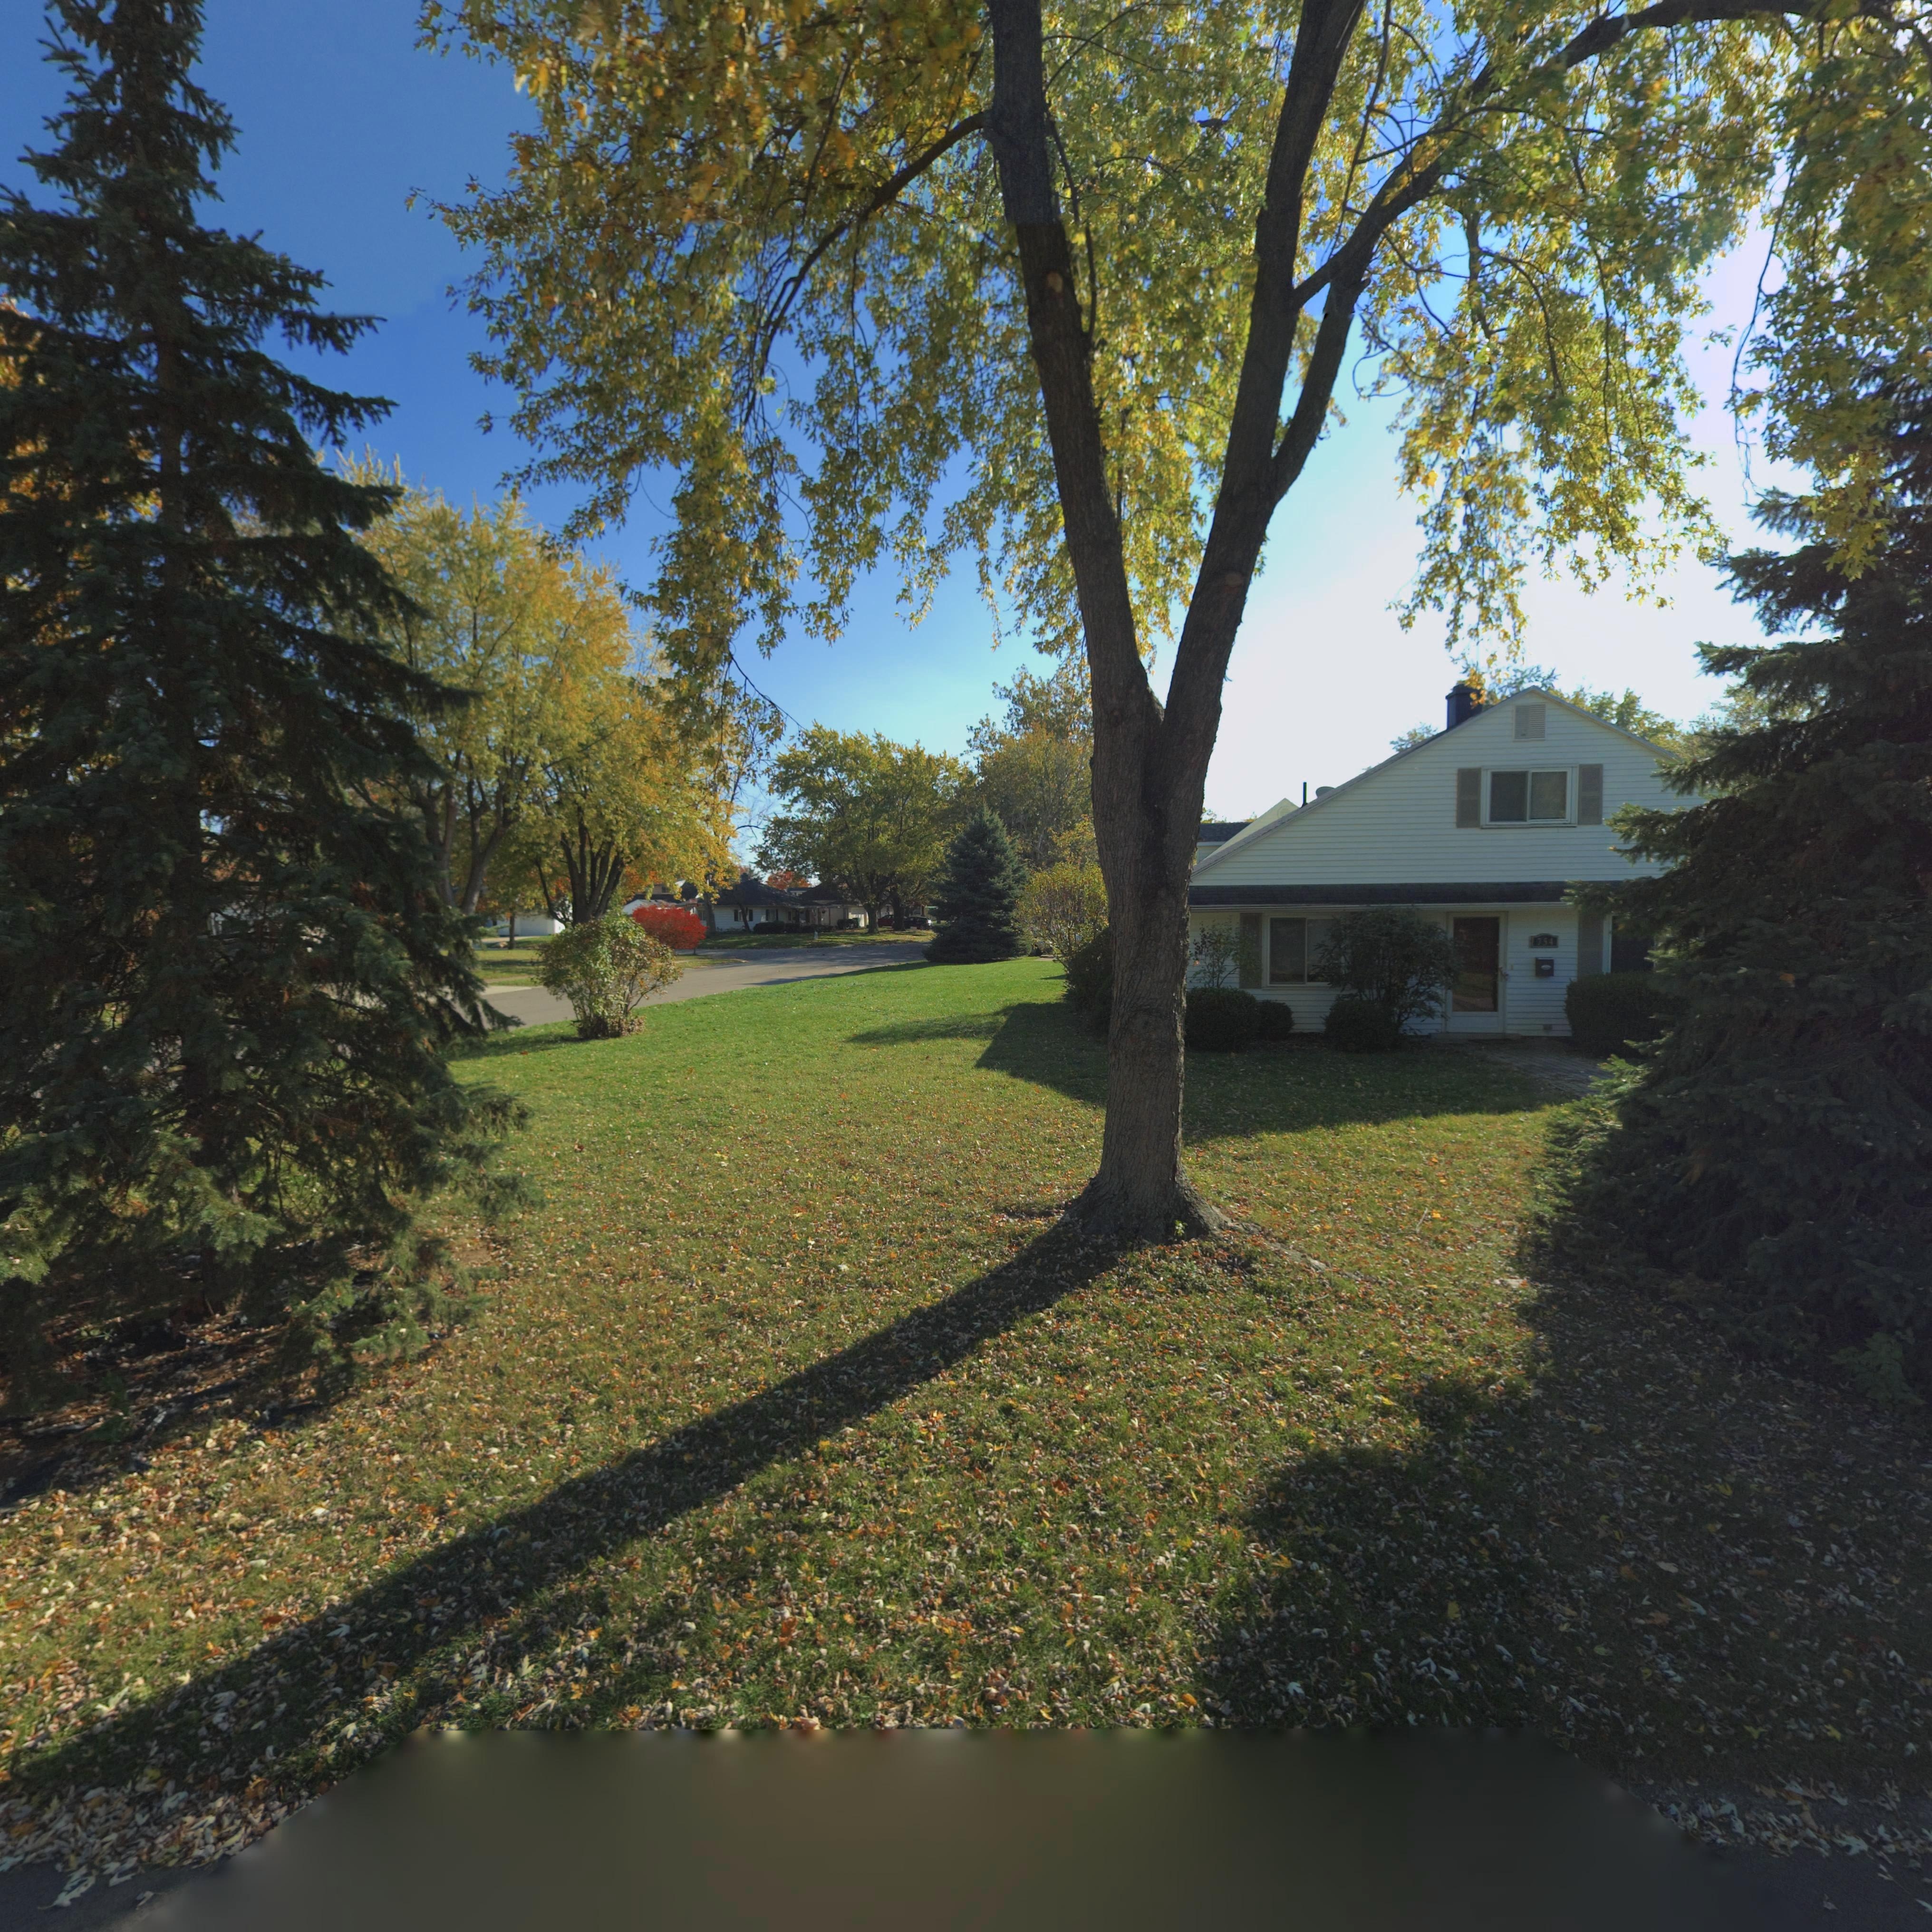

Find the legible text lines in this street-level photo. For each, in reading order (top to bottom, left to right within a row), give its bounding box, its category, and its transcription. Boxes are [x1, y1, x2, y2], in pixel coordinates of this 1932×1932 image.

[1536, 937, 1554, 946] StreetNumber: 754